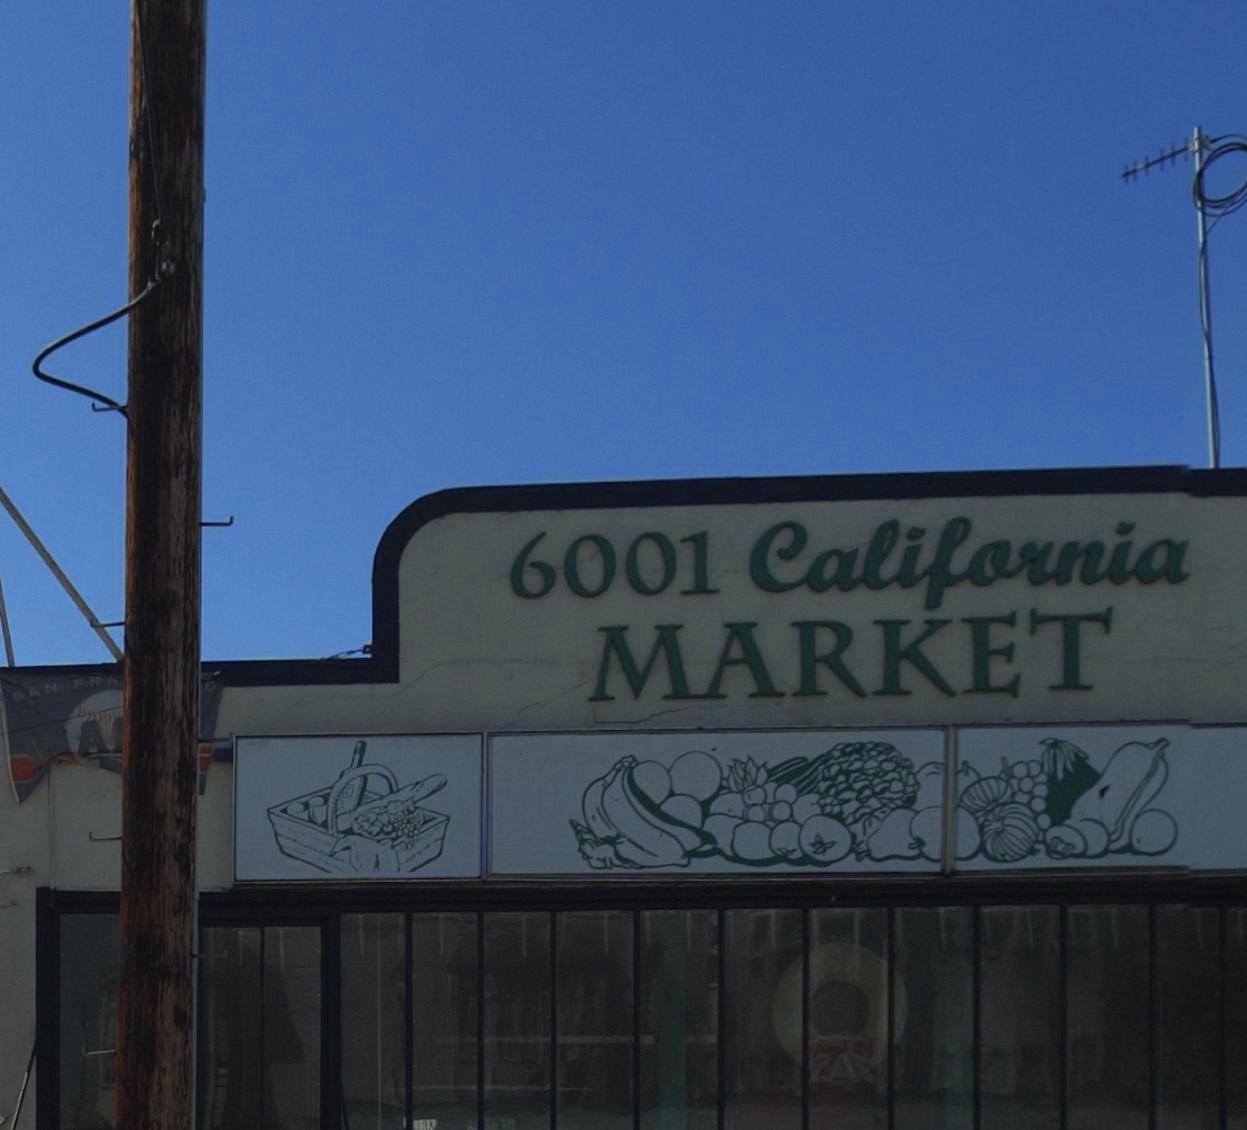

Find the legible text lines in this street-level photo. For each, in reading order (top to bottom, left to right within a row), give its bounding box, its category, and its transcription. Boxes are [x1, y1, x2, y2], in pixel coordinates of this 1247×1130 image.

[501, 527, 722, 600] StreetNumber: 6001
[745, 514, 1192, 613] StreetName: California
[581, 604, 1120, 706] BusinessName: MARKET